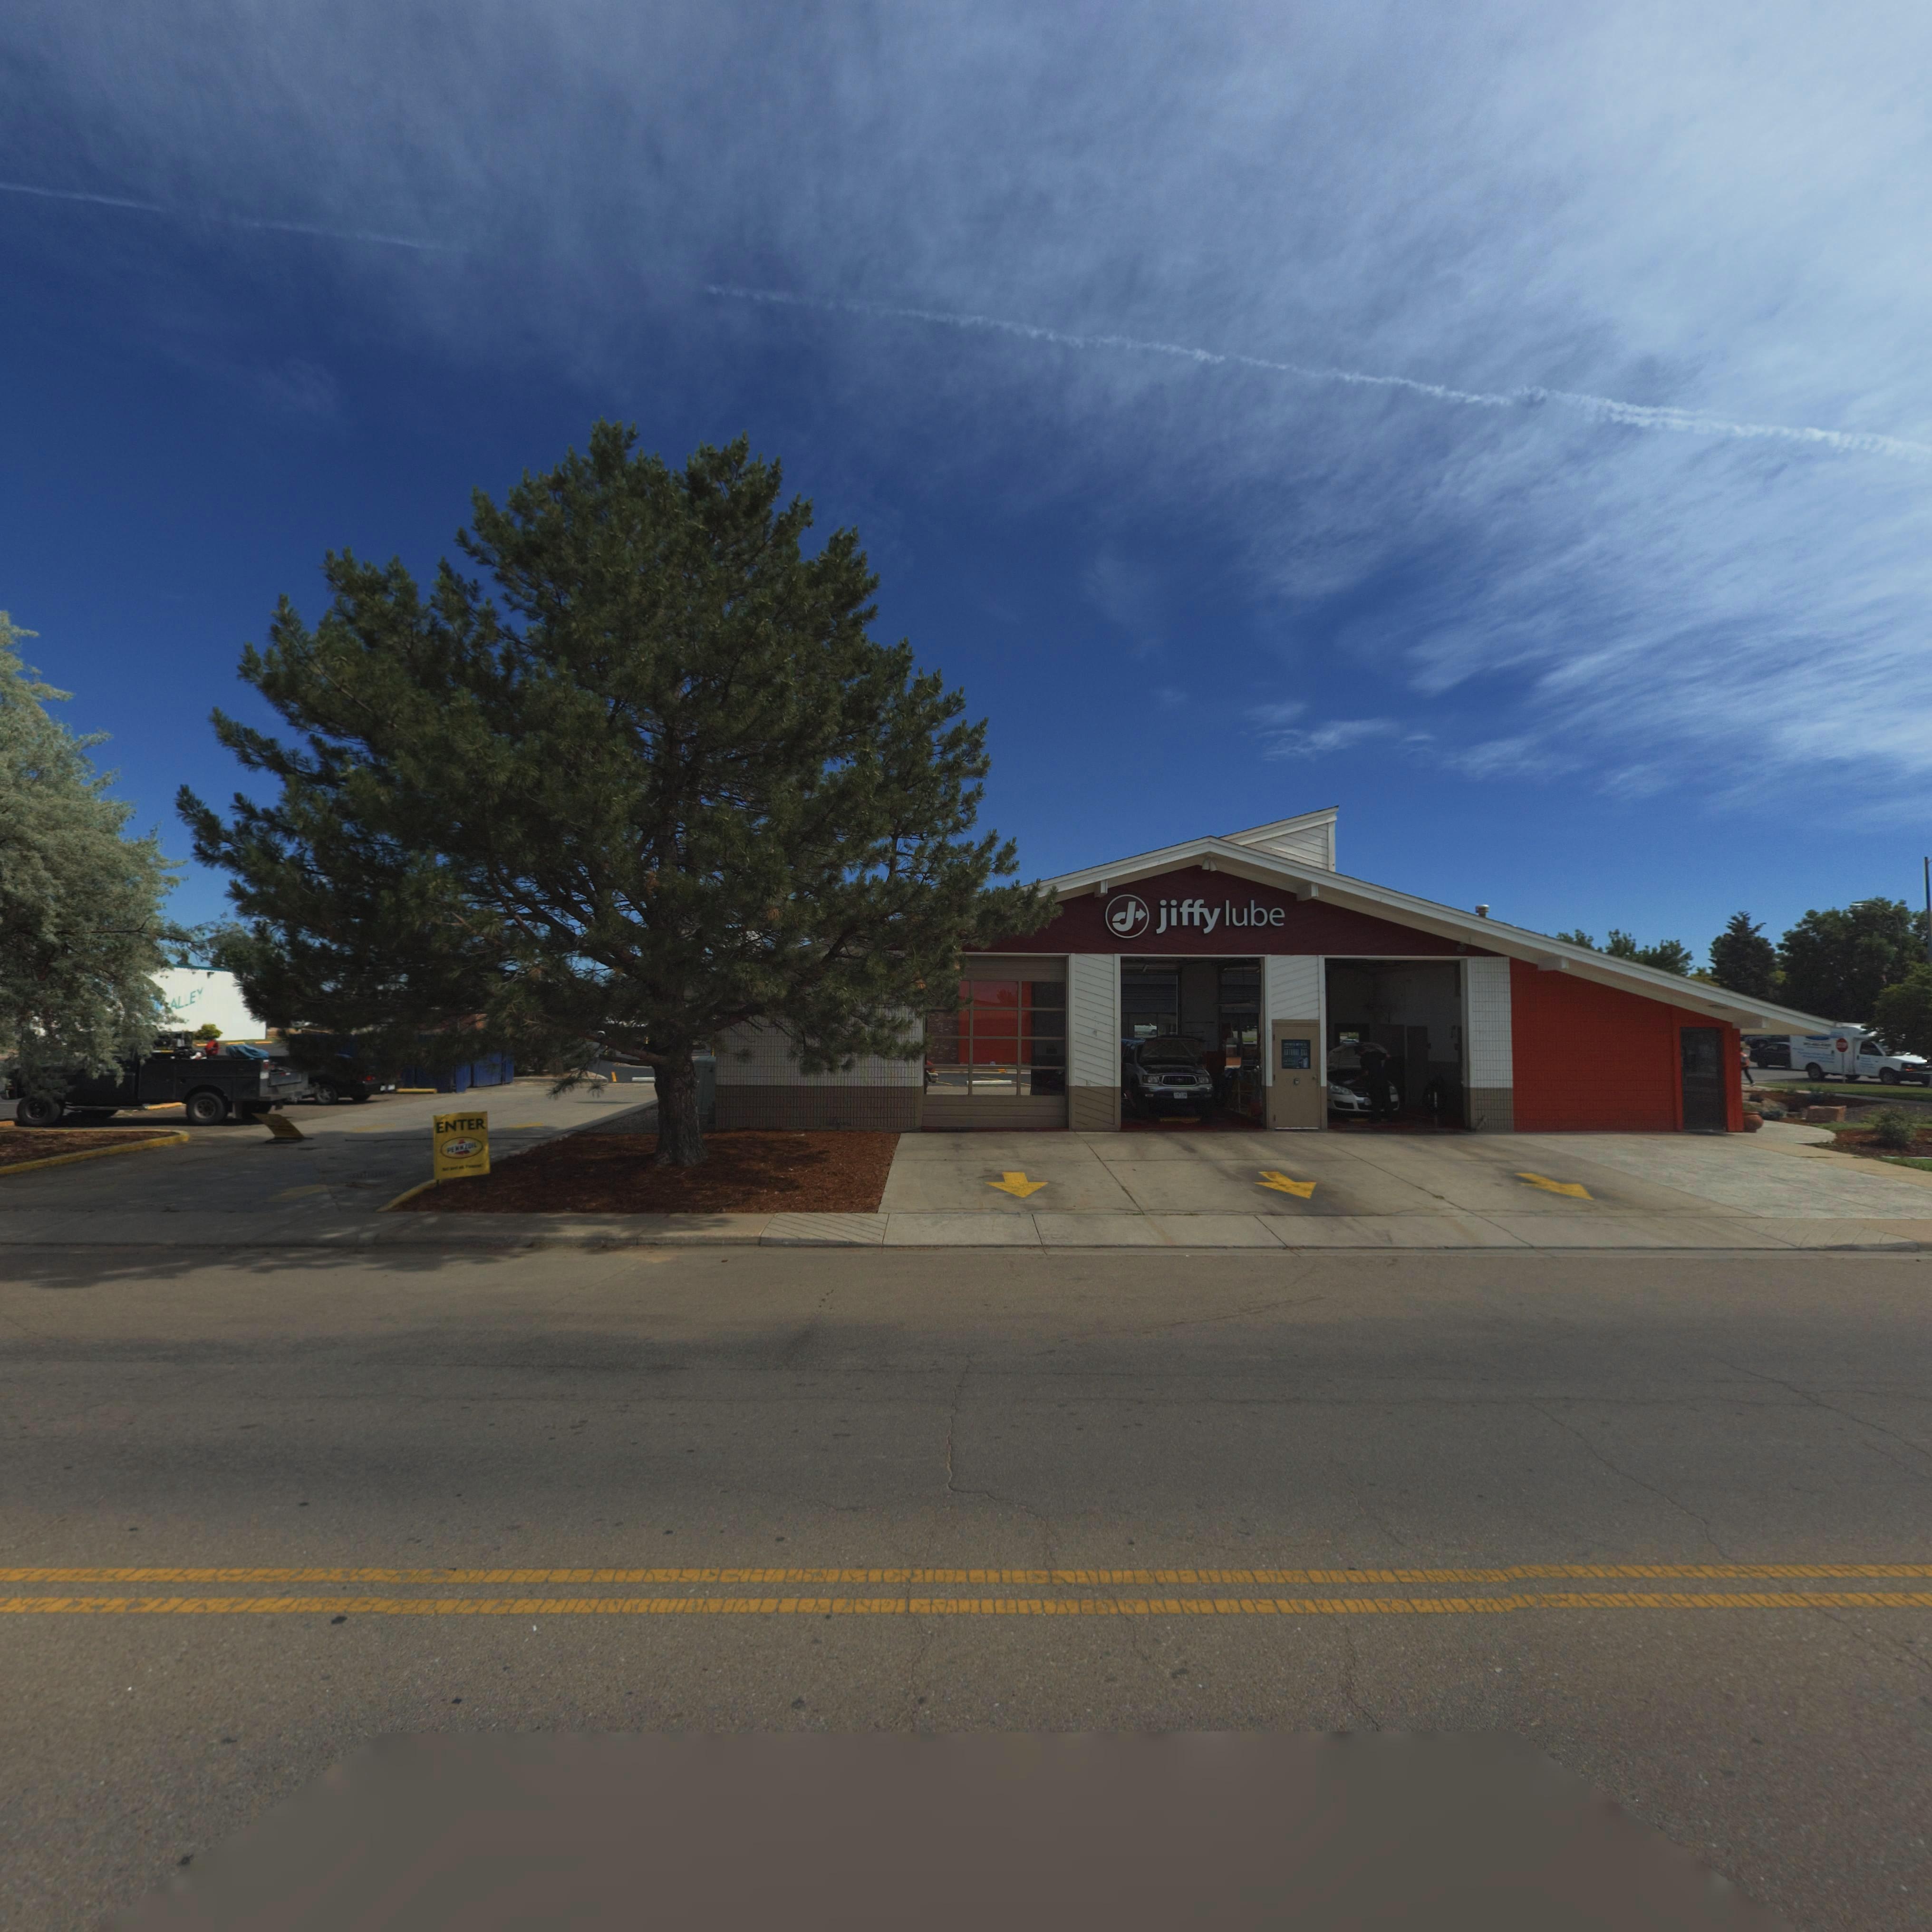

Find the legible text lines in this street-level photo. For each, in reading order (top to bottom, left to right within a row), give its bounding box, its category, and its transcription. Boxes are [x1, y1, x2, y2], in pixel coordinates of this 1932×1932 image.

[1155, 898, 1285, 935] BusinessName: jiffy lube